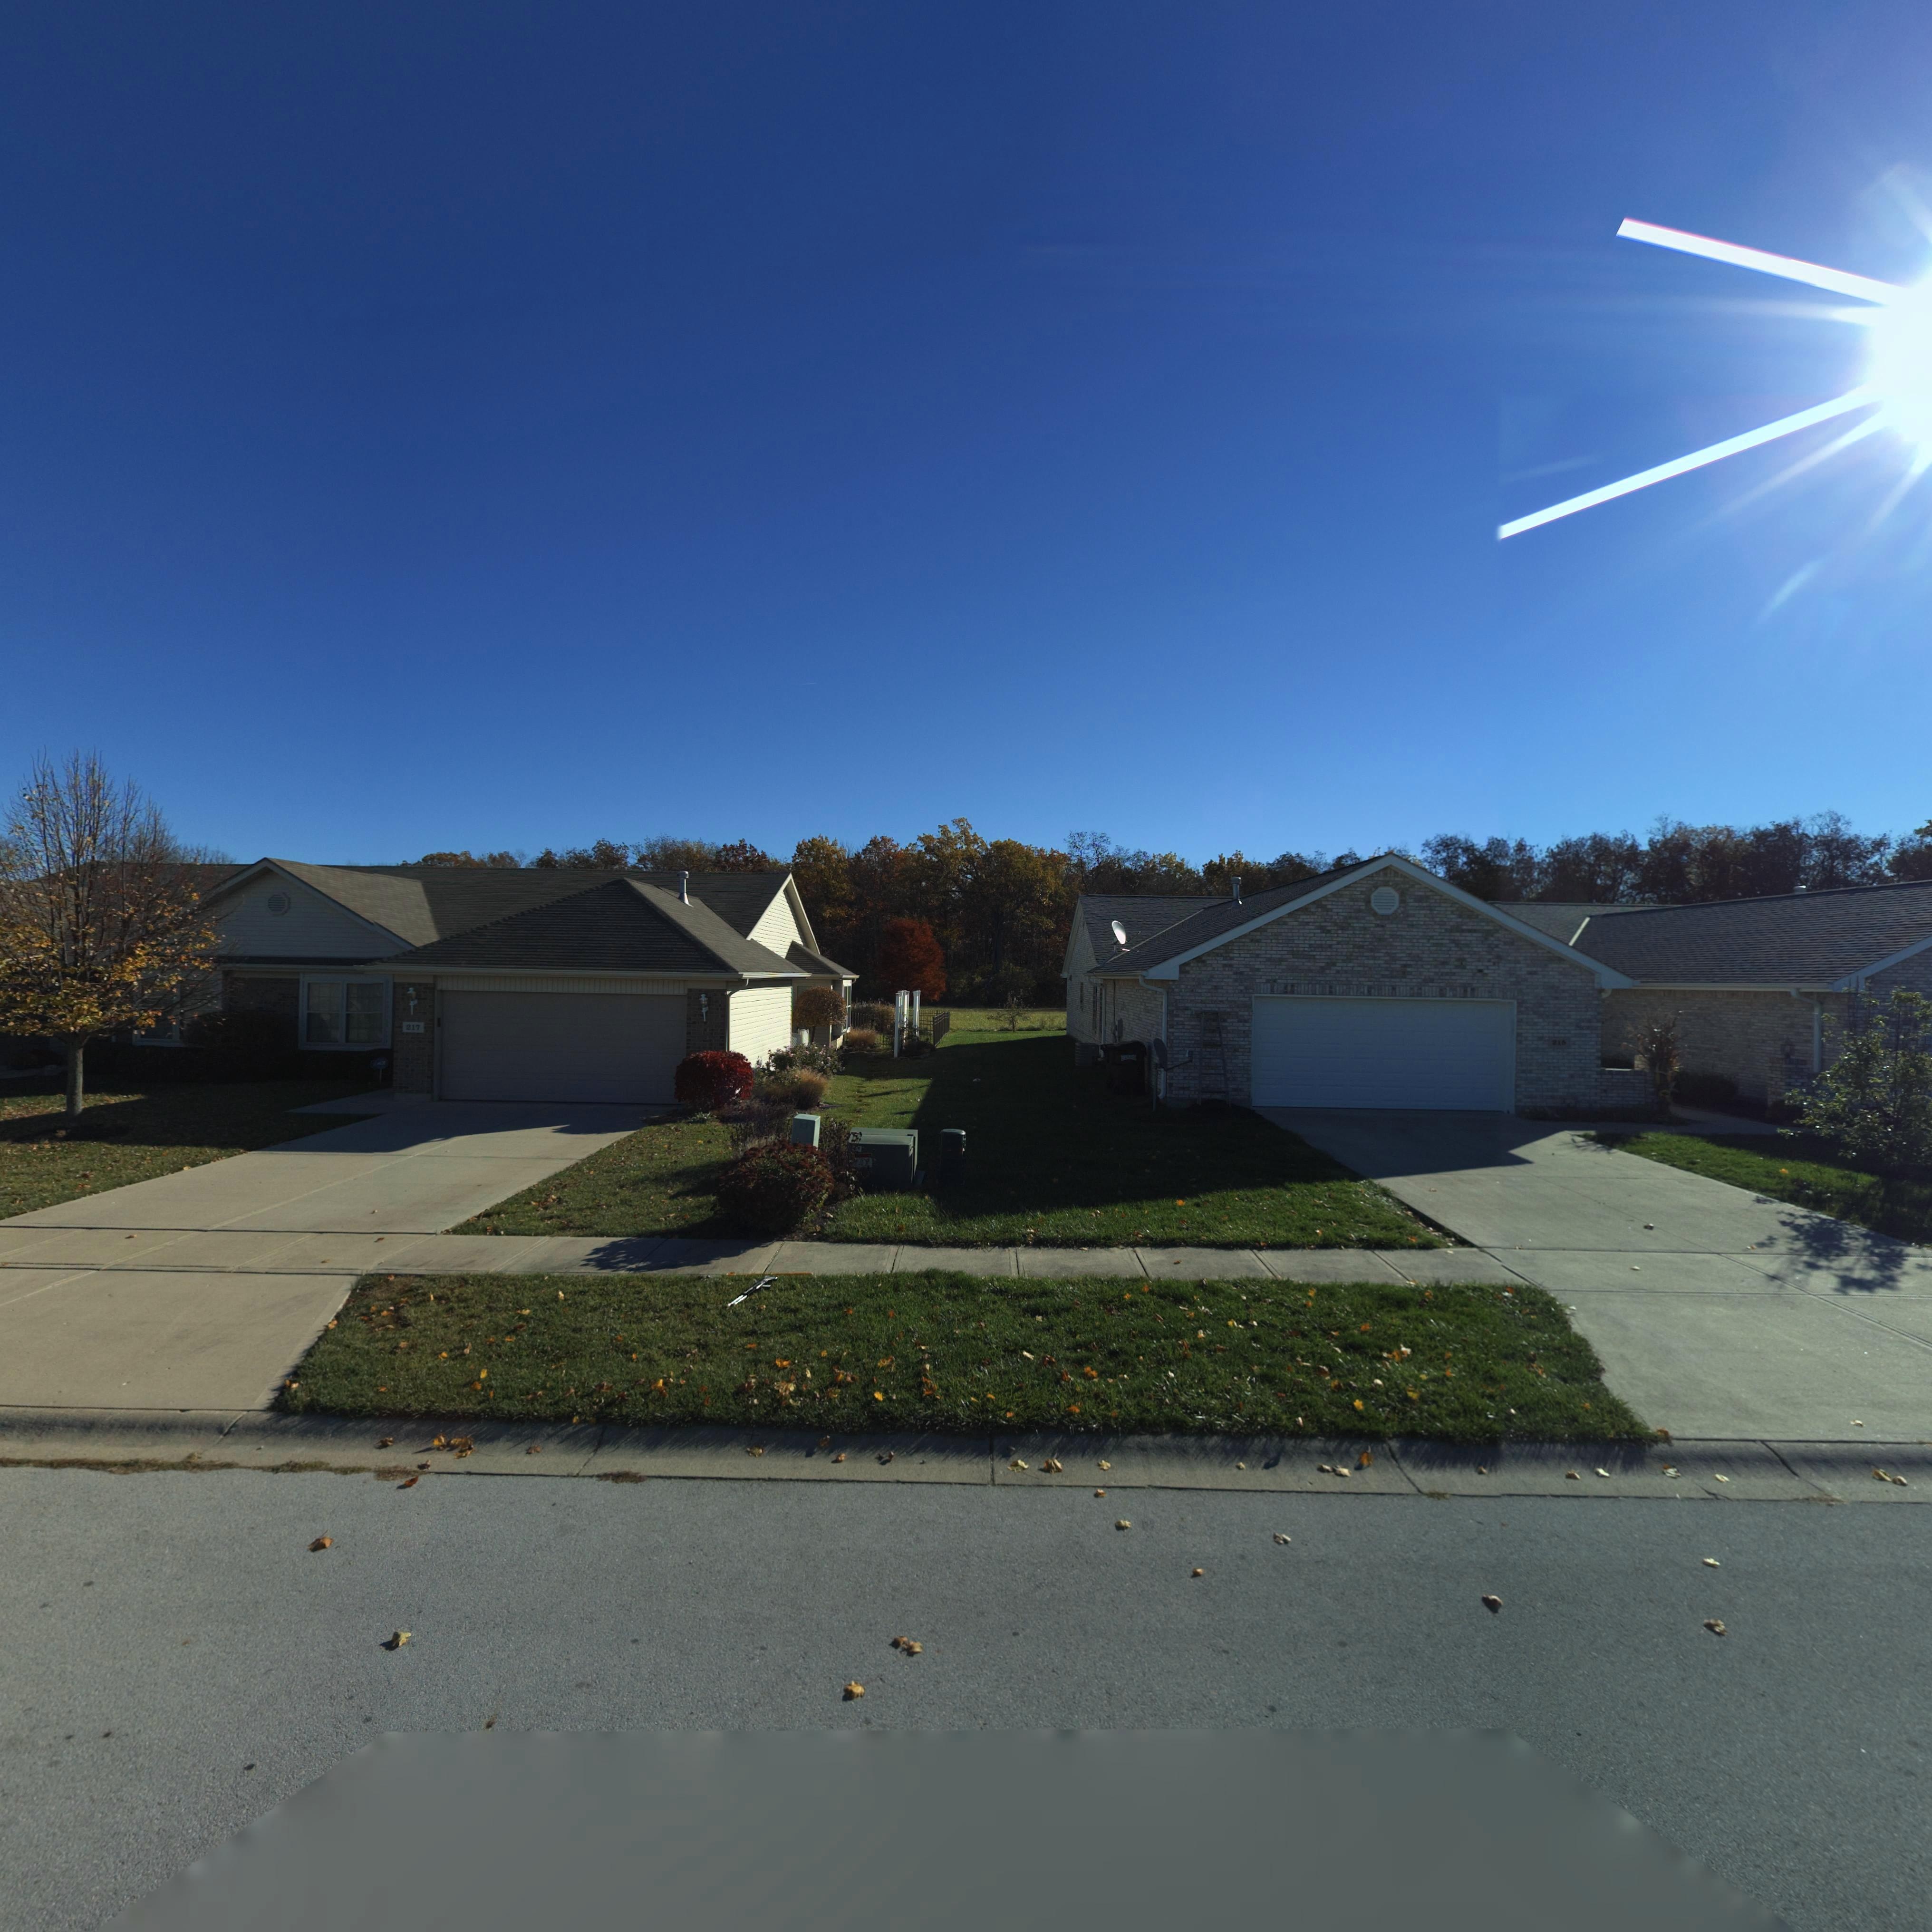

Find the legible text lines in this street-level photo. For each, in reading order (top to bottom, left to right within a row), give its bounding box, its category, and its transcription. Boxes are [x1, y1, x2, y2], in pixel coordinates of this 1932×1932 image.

[405, 1023, 421, 1032] StreetNumber: 217
[1551, 1039, 1567, 1047] StreetNumber: 21*